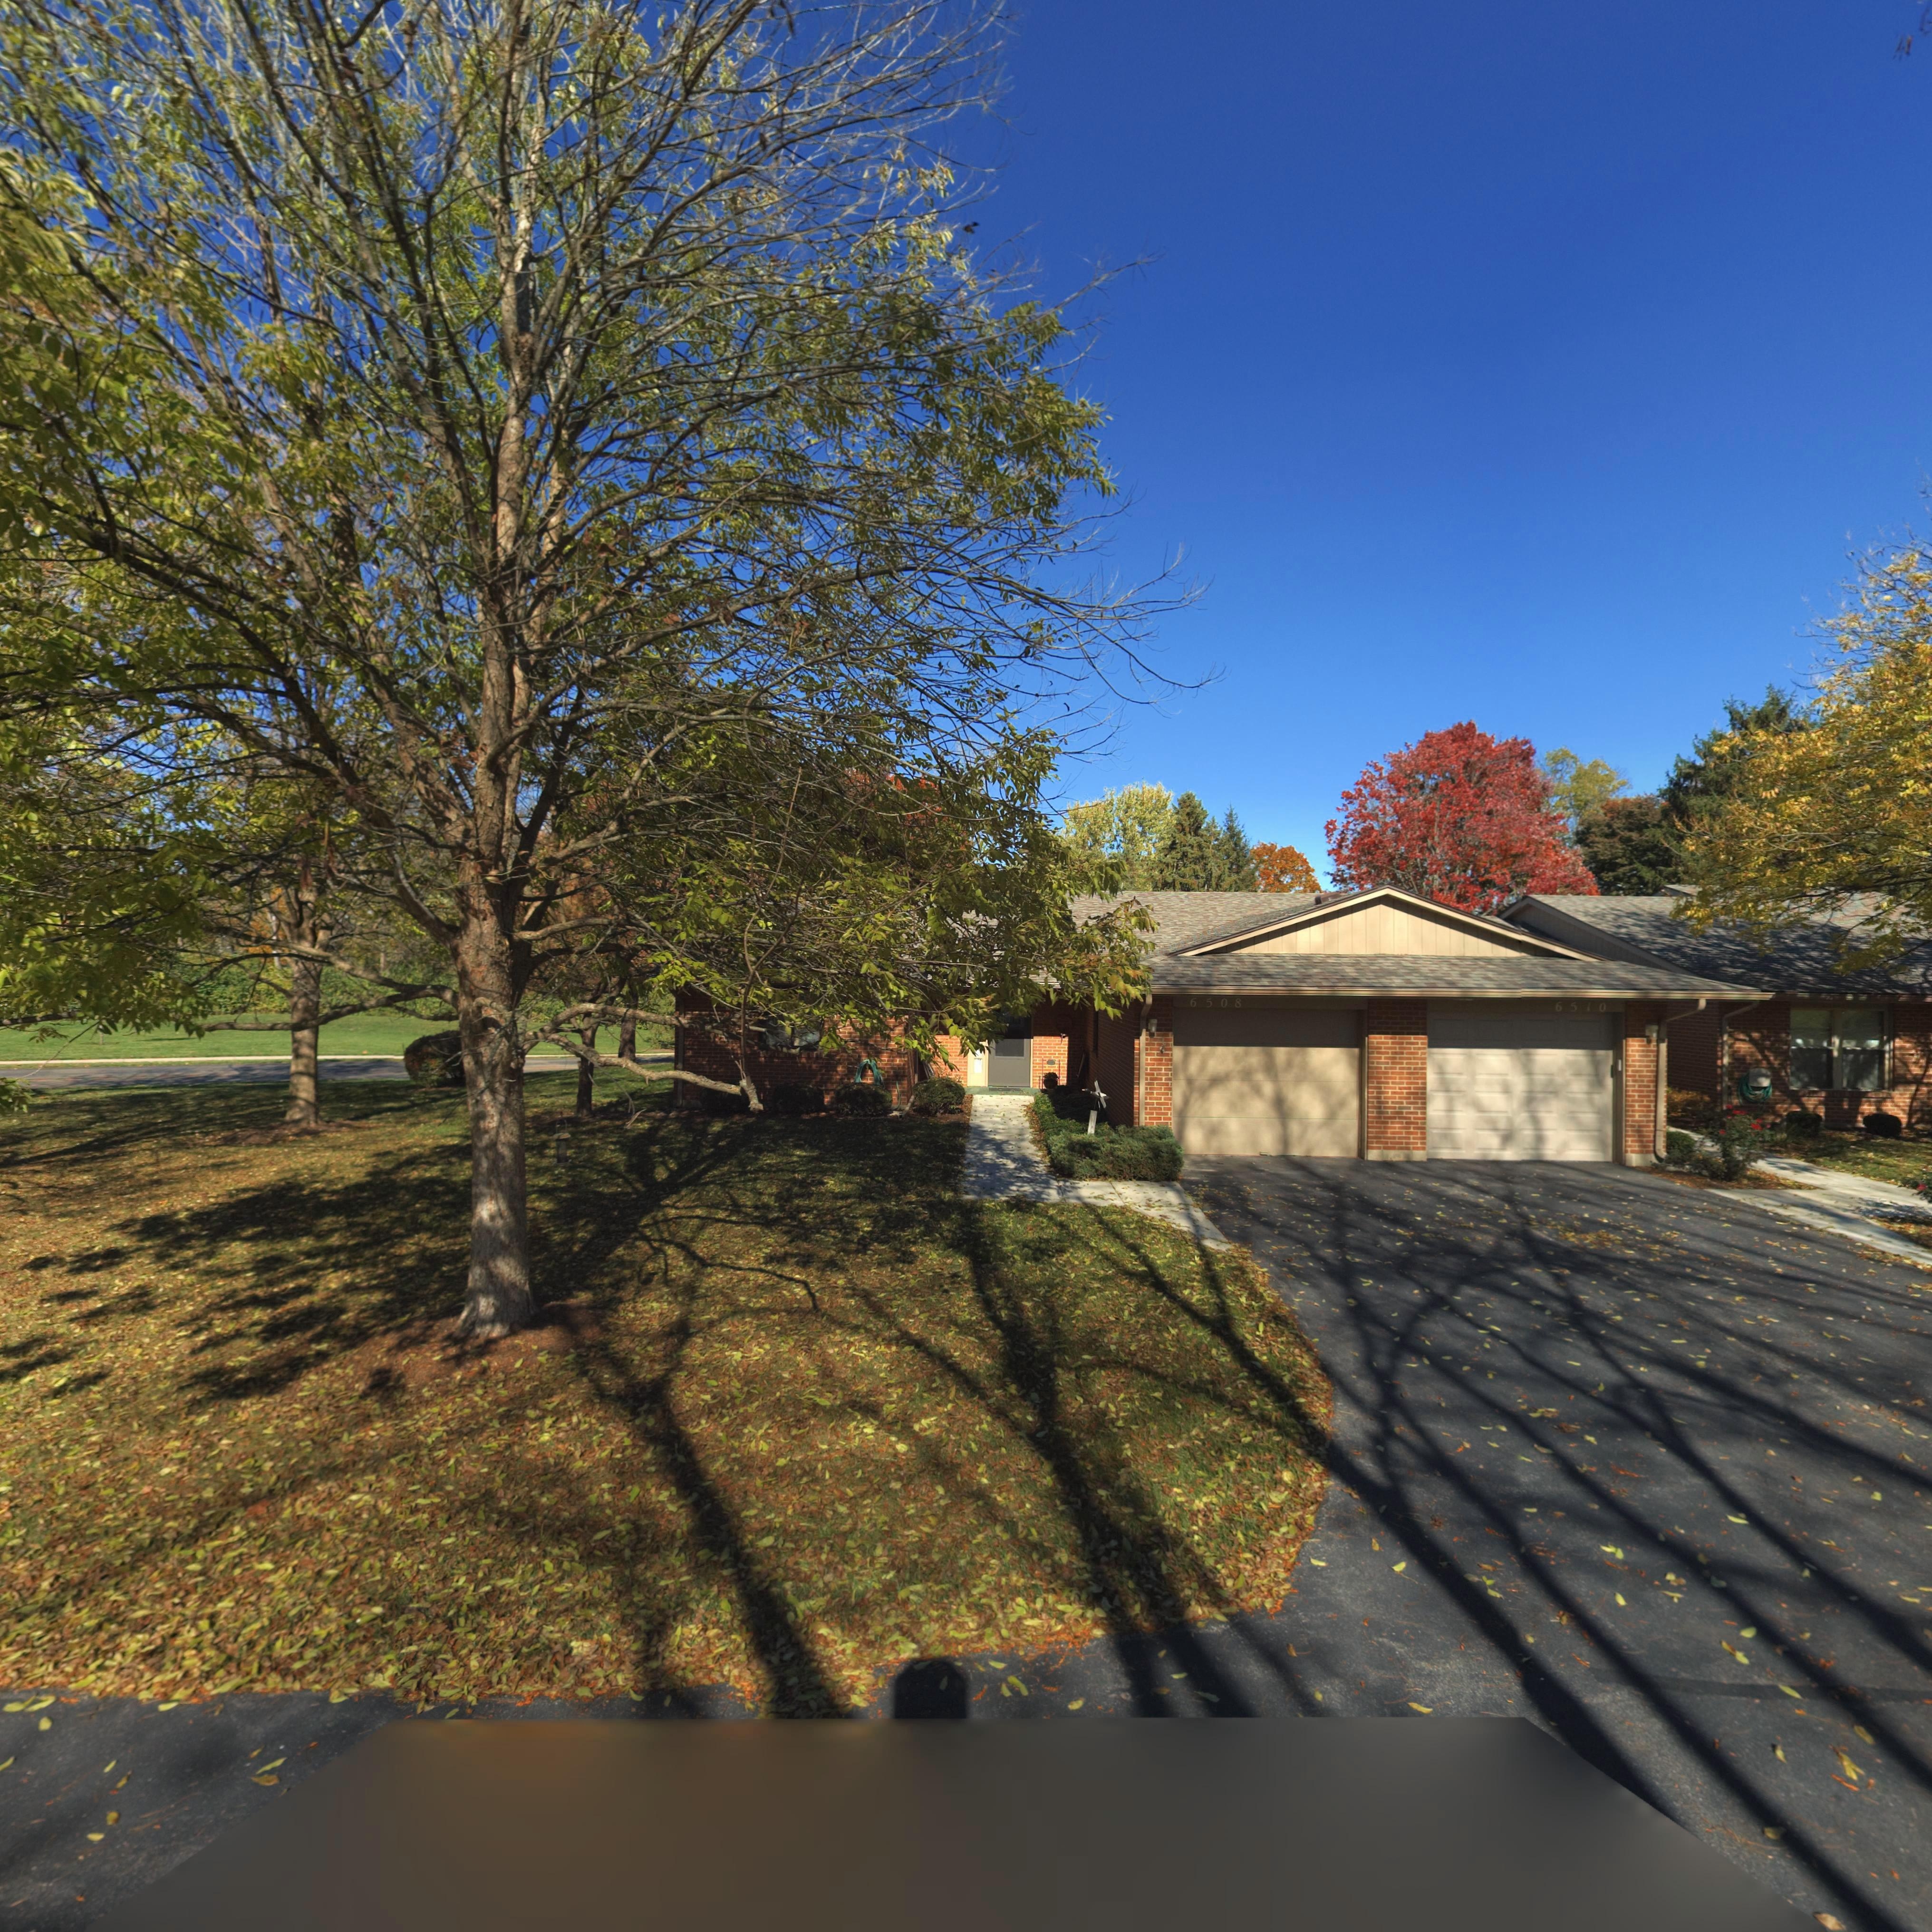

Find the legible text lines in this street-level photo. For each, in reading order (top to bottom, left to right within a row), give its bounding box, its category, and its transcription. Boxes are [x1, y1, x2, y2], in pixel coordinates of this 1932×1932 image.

[1189, 996, 1243, 1009] StreetNumber: 6508
[1554, 1000, 1607, 1013] StreetNumber: 6510